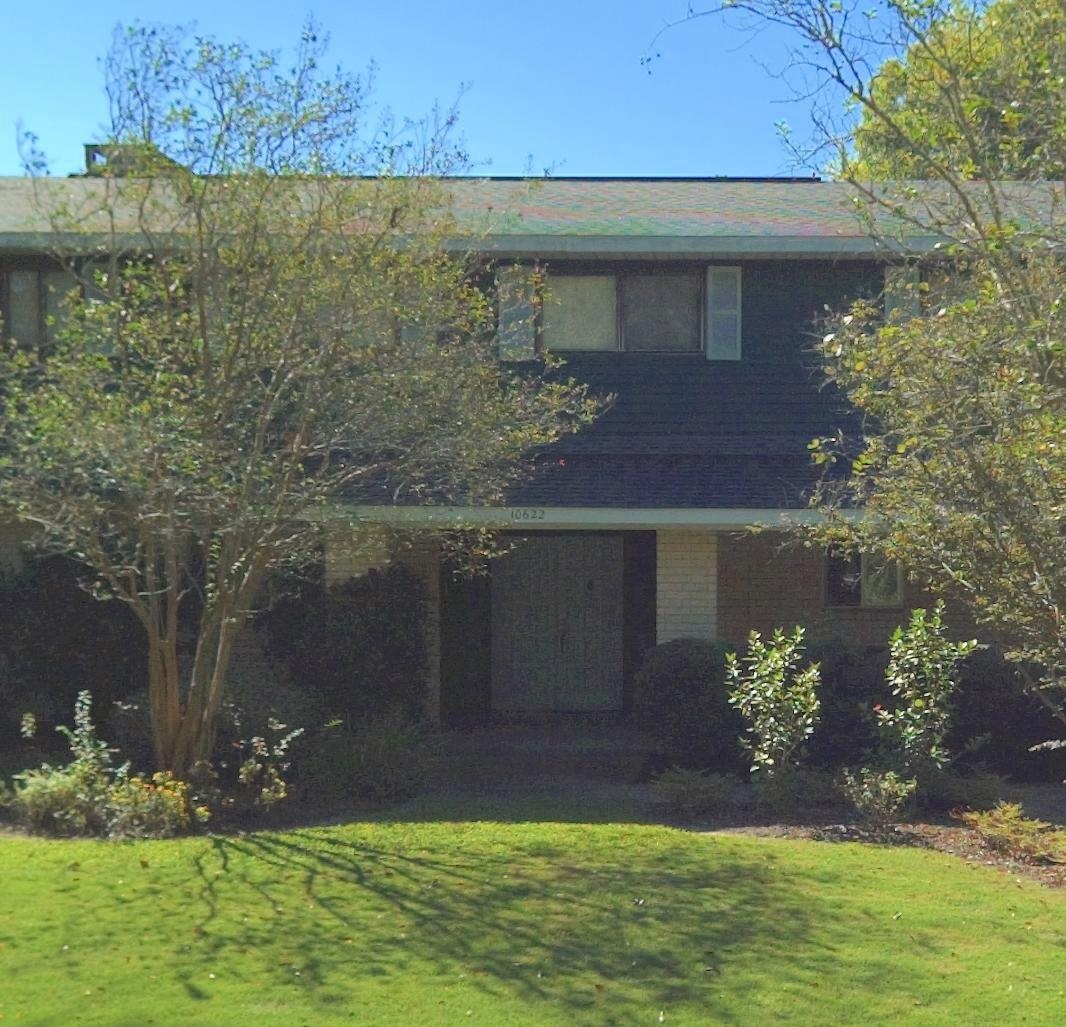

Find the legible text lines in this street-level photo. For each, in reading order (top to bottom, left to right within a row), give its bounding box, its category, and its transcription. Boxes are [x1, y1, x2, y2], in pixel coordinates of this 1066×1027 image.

[509, 506, 548, 522] StreetNumber: 10622